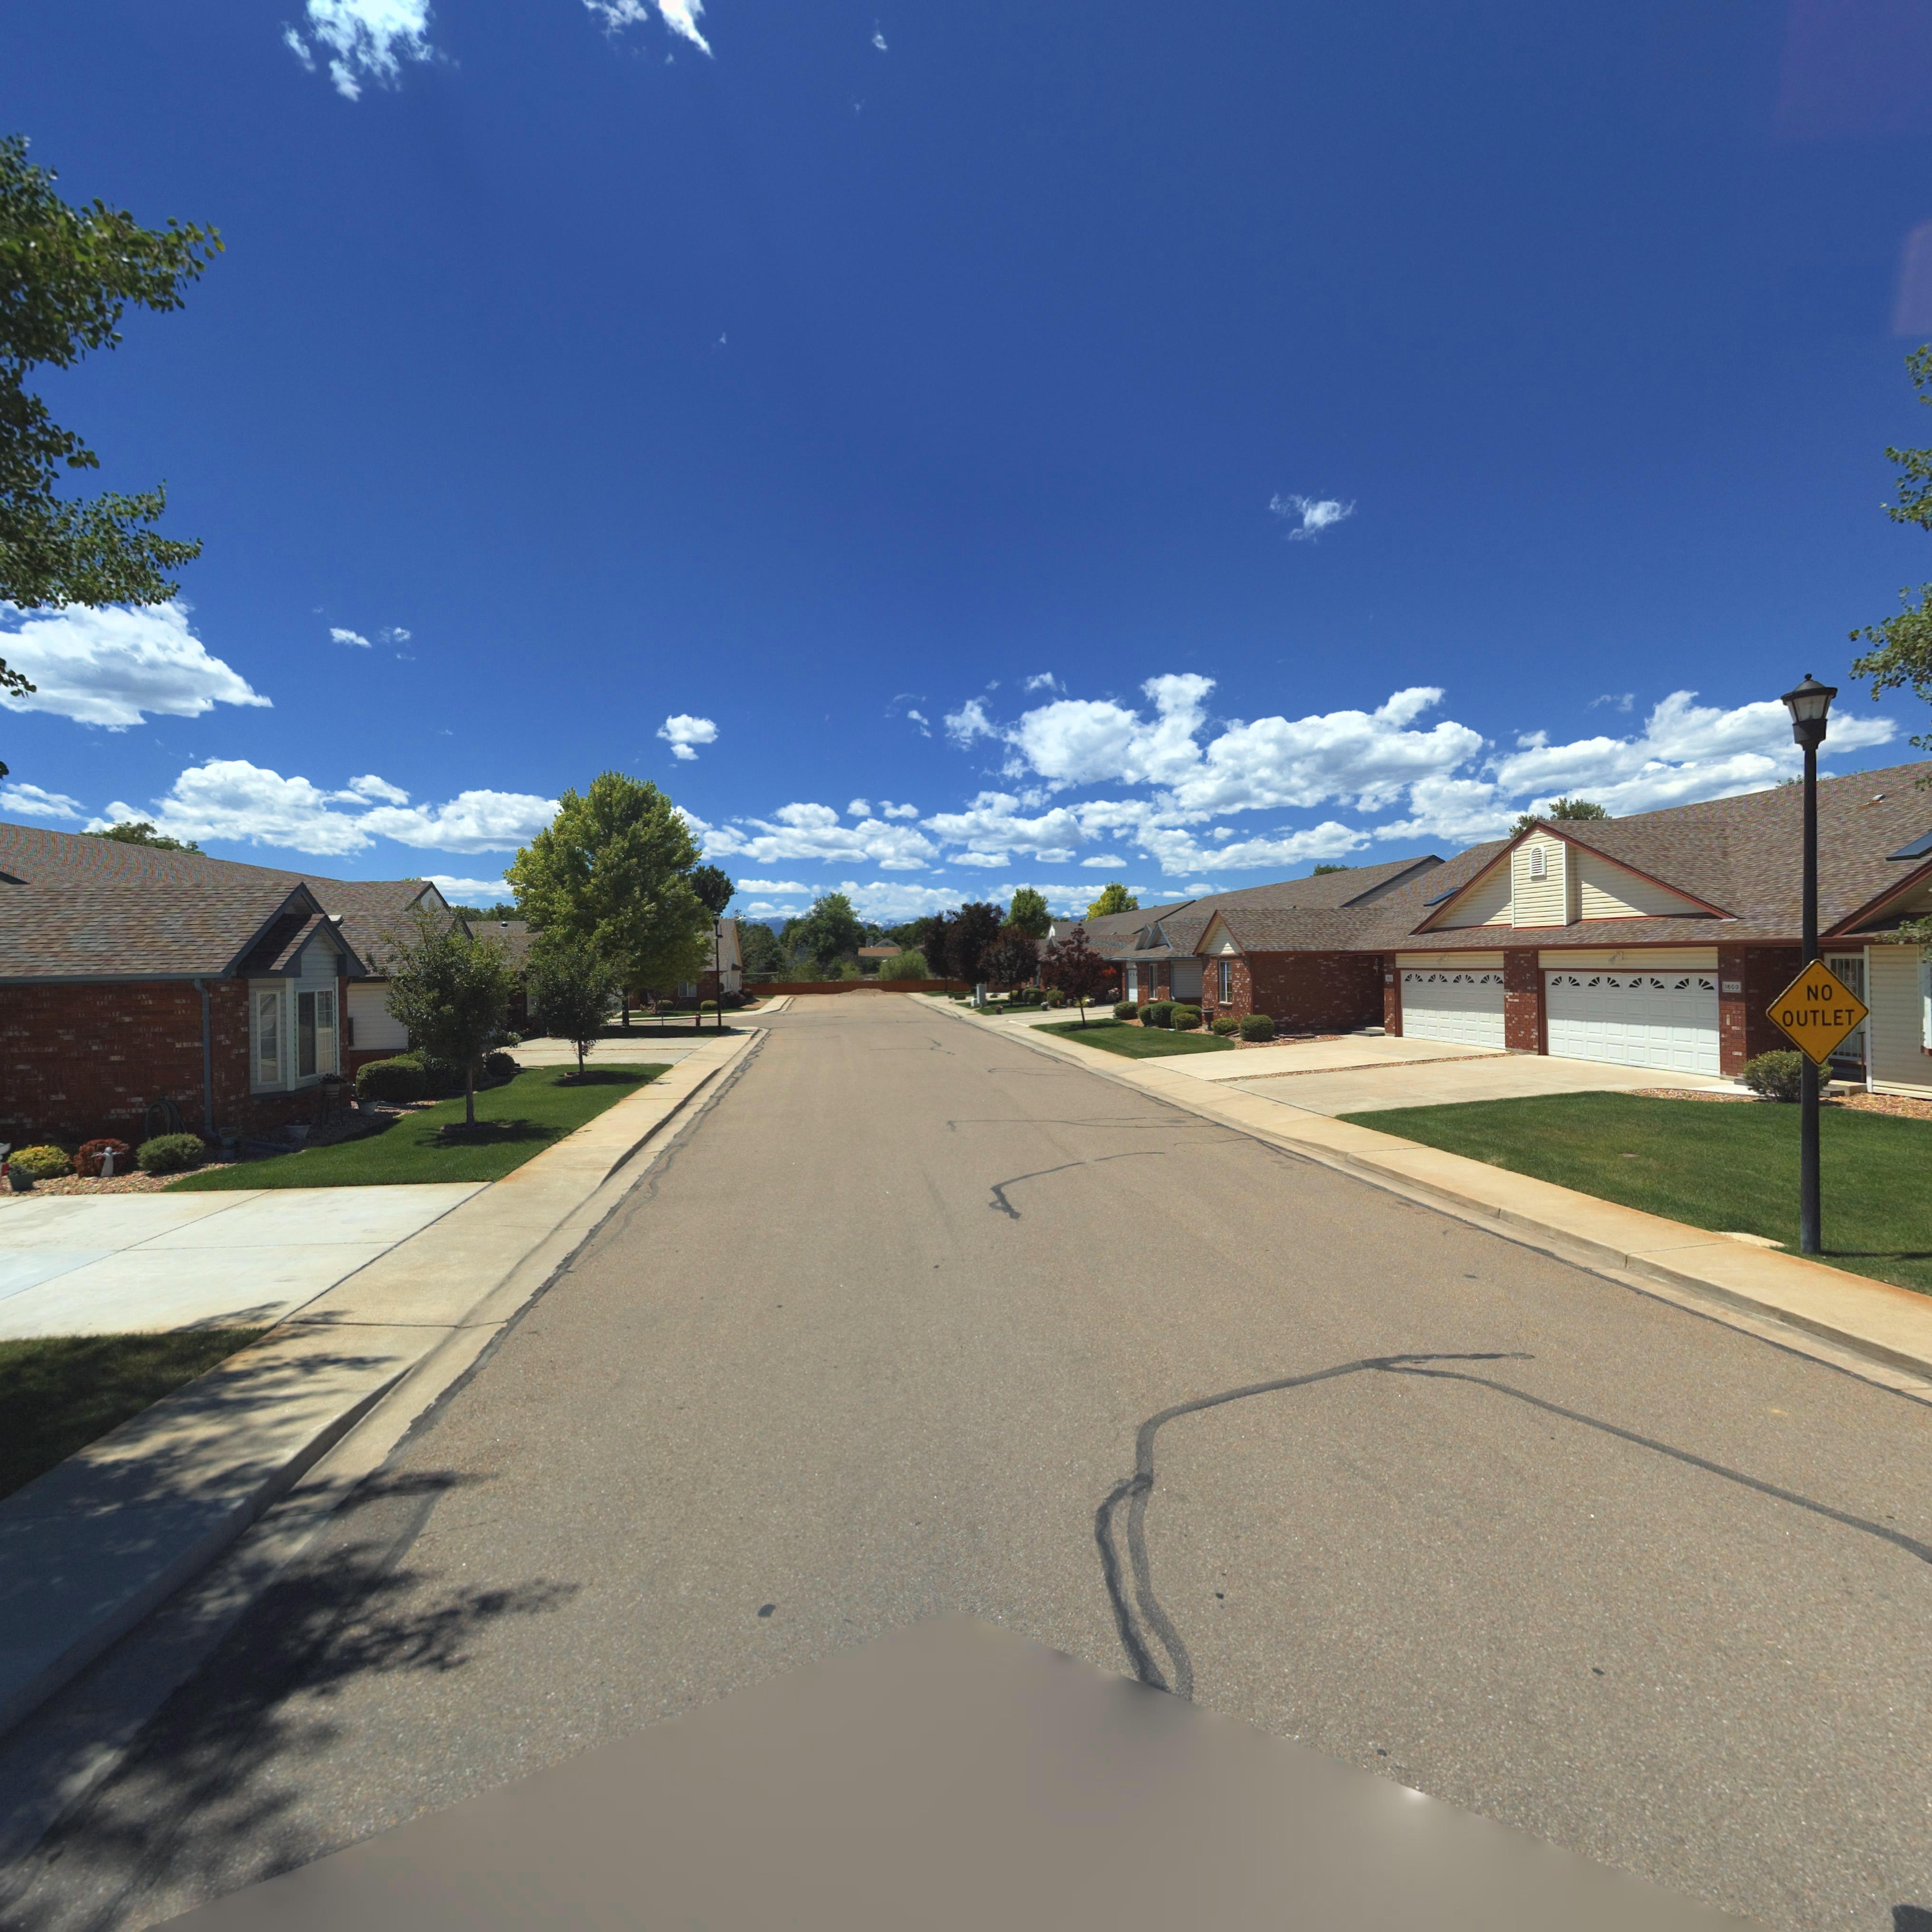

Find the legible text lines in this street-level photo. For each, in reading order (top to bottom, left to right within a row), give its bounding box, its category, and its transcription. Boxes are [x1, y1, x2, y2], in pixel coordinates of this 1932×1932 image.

[1724, 983, 1739, 990] StreetNumber: 160*